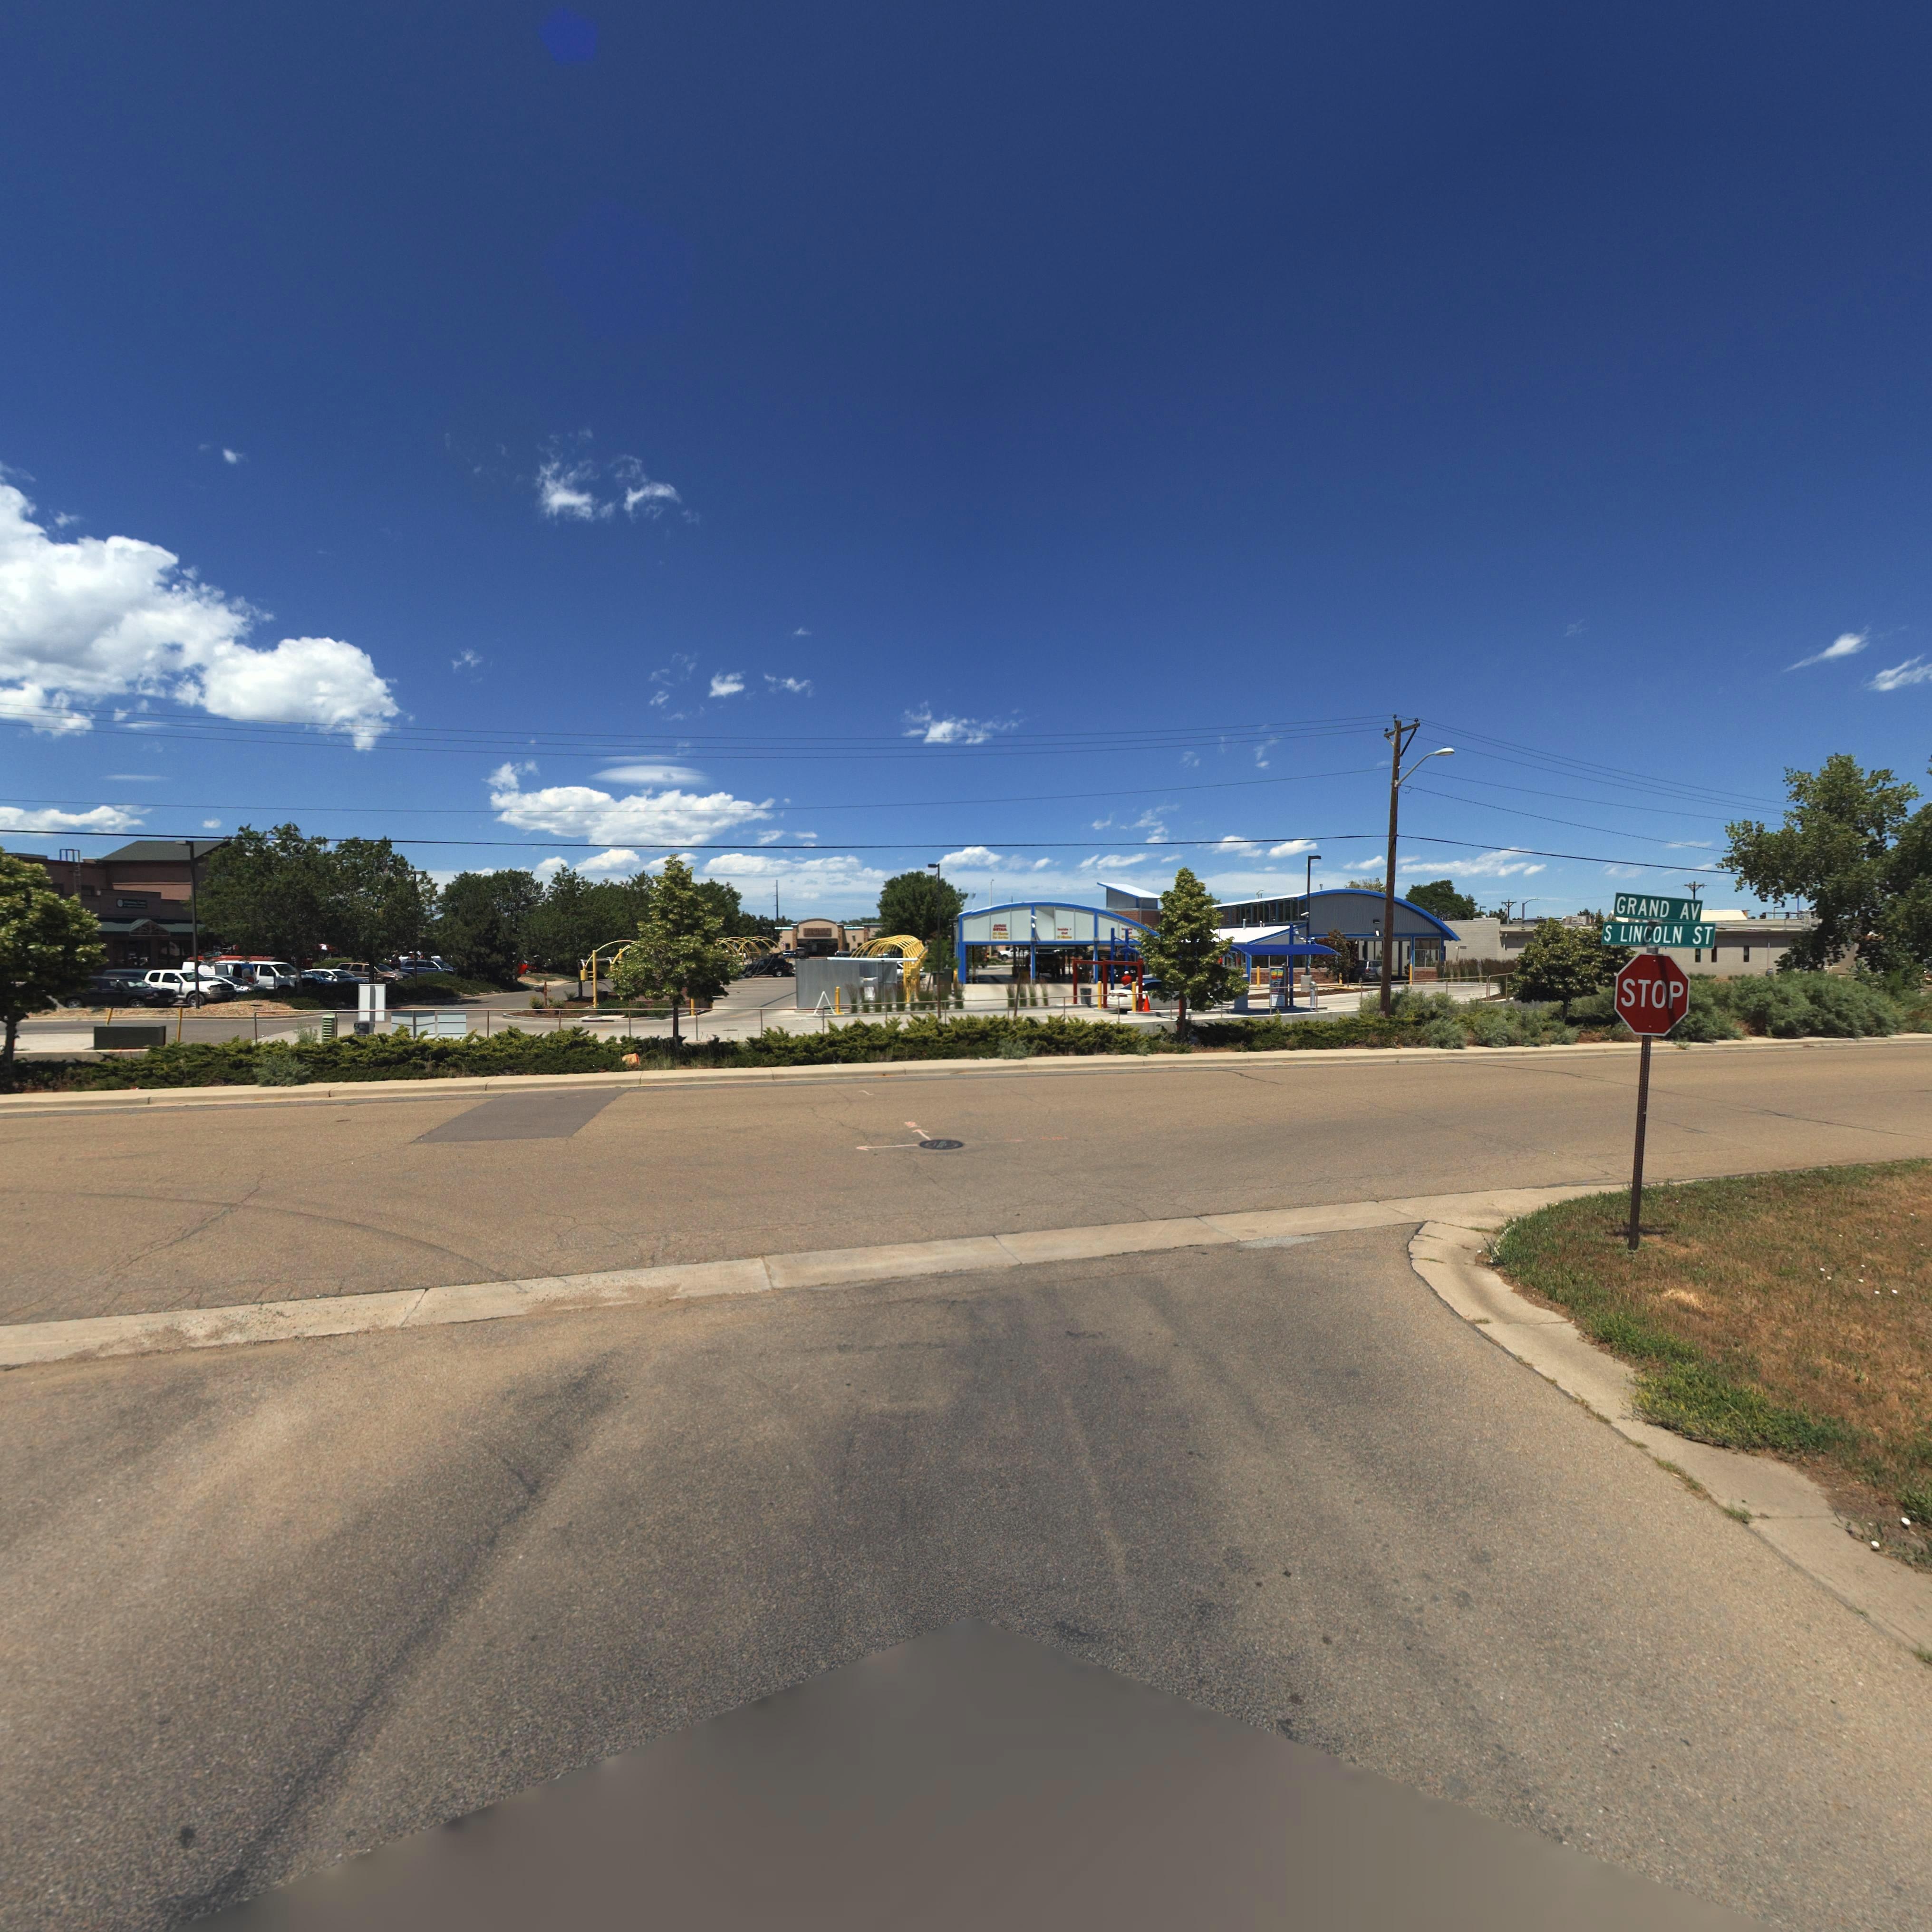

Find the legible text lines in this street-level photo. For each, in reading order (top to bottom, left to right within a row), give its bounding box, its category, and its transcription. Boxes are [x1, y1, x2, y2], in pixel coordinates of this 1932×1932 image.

[123, 899, 146, 904] BusinessName: S******&****
[1616, 895, 1701, 921] StreetName: GRAND AV
[1603, 924, 1714, 945] StreetName: S LINCOLN ST